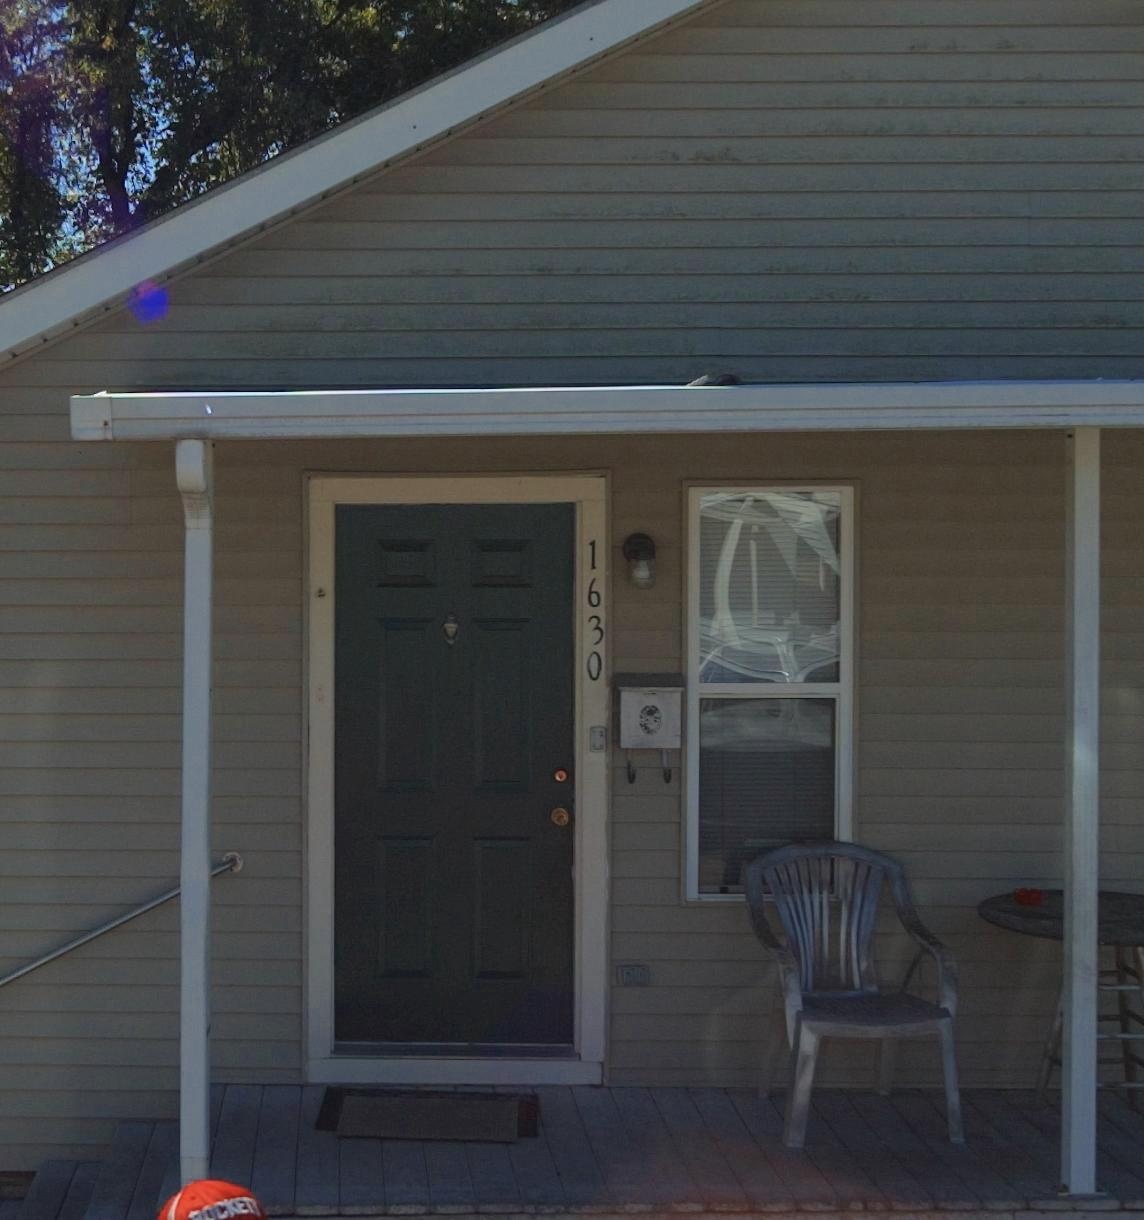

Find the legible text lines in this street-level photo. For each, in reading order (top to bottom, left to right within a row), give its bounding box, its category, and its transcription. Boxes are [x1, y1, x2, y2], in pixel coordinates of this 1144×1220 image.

[583, 537, 607, 686] StreetNumber: 1630
[210, 1195, 259, 1219] None: CKET